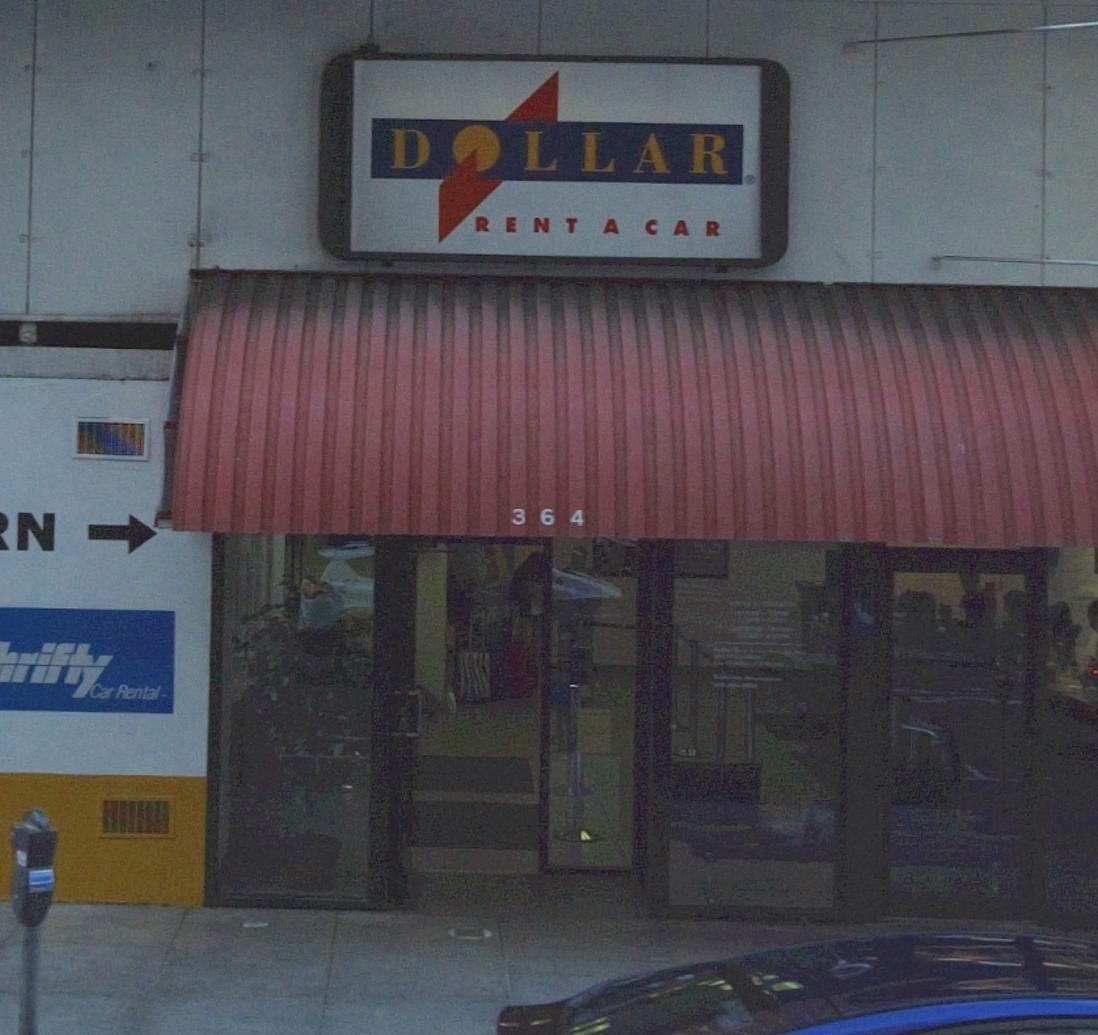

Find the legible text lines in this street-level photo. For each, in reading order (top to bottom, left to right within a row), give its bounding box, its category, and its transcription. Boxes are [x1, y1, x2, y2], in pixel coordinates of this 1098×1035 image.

[383, 122, 736, 180] BusinessName: D*LLAR
[470, 212, 726, 241] BusinessName: RENT A CAR
[12, 504, 63, 559] None: N
[507, 503, 589, 530] StreetNumber: 364
[3, 638, 123, 712] None: rifty
[85, 678, 168, 706] None: Car Rental